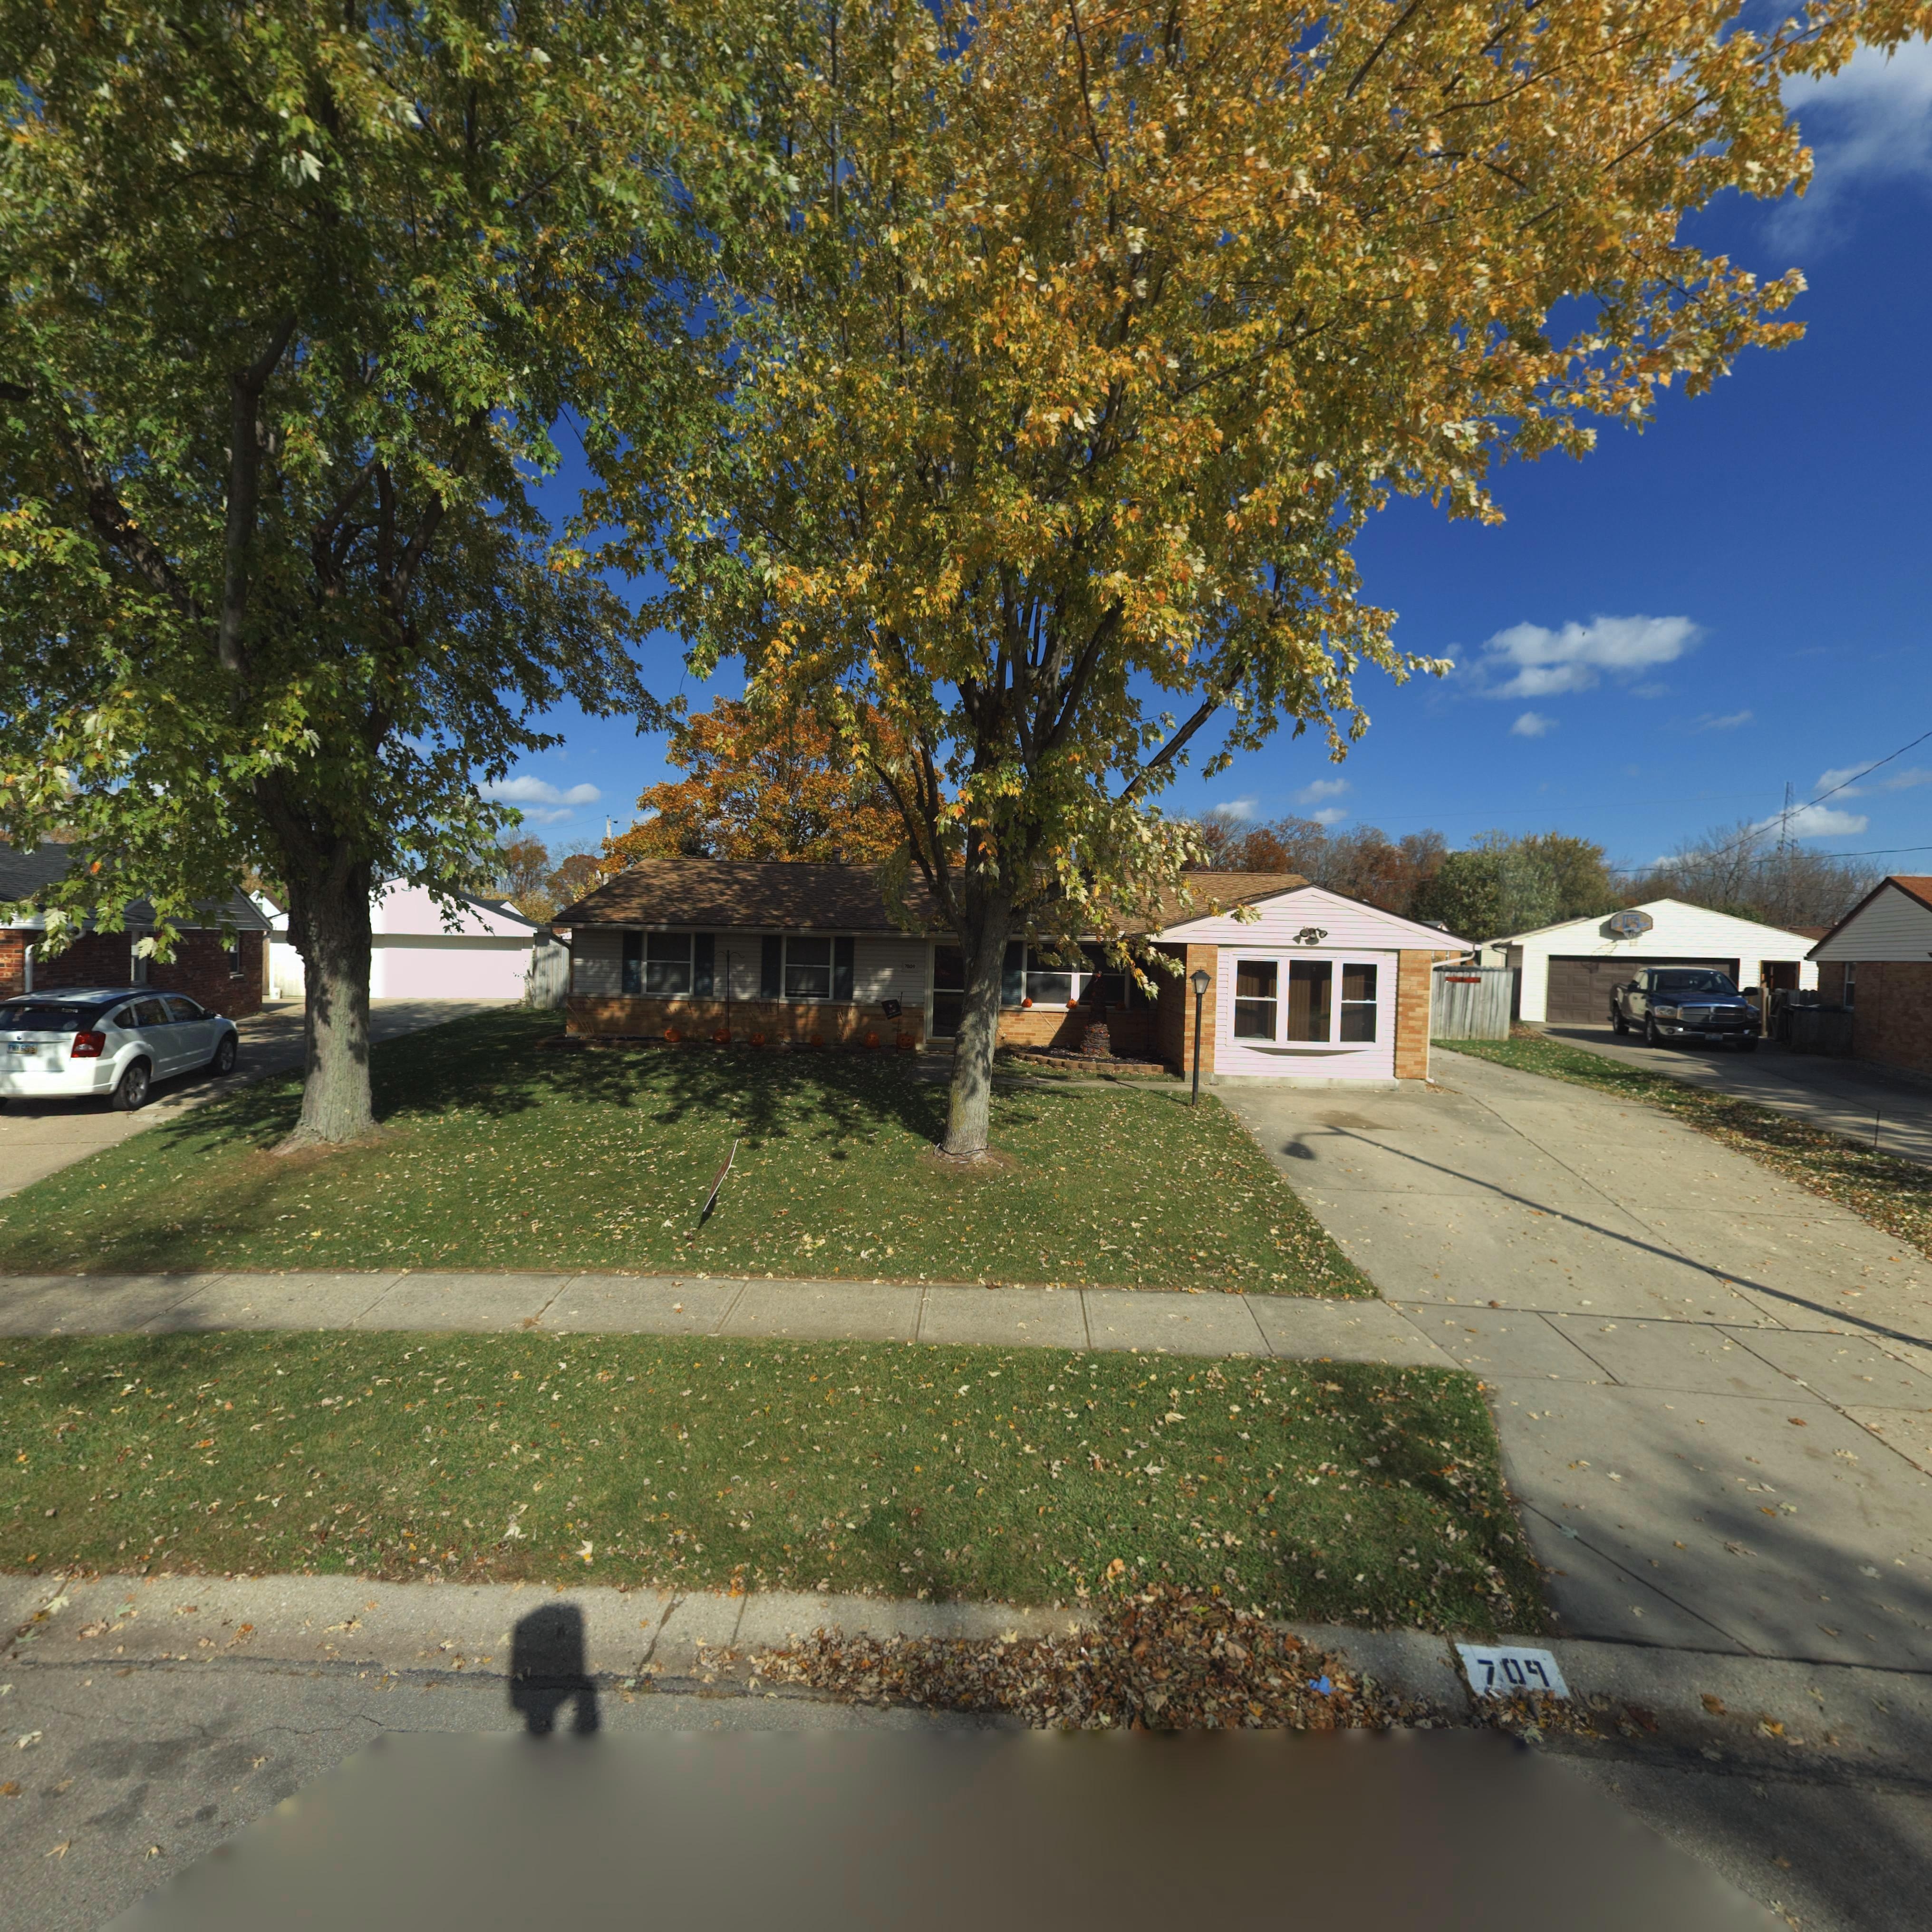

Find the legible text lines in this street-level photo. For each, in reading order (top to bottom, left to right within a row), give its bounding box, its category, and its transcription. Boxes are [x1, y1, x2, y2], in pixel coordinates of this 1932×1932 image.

[904, 963, 916, 969] StreetNumber: 7809
[1476, 1657, 1552, 1688] StreetNumber: 709